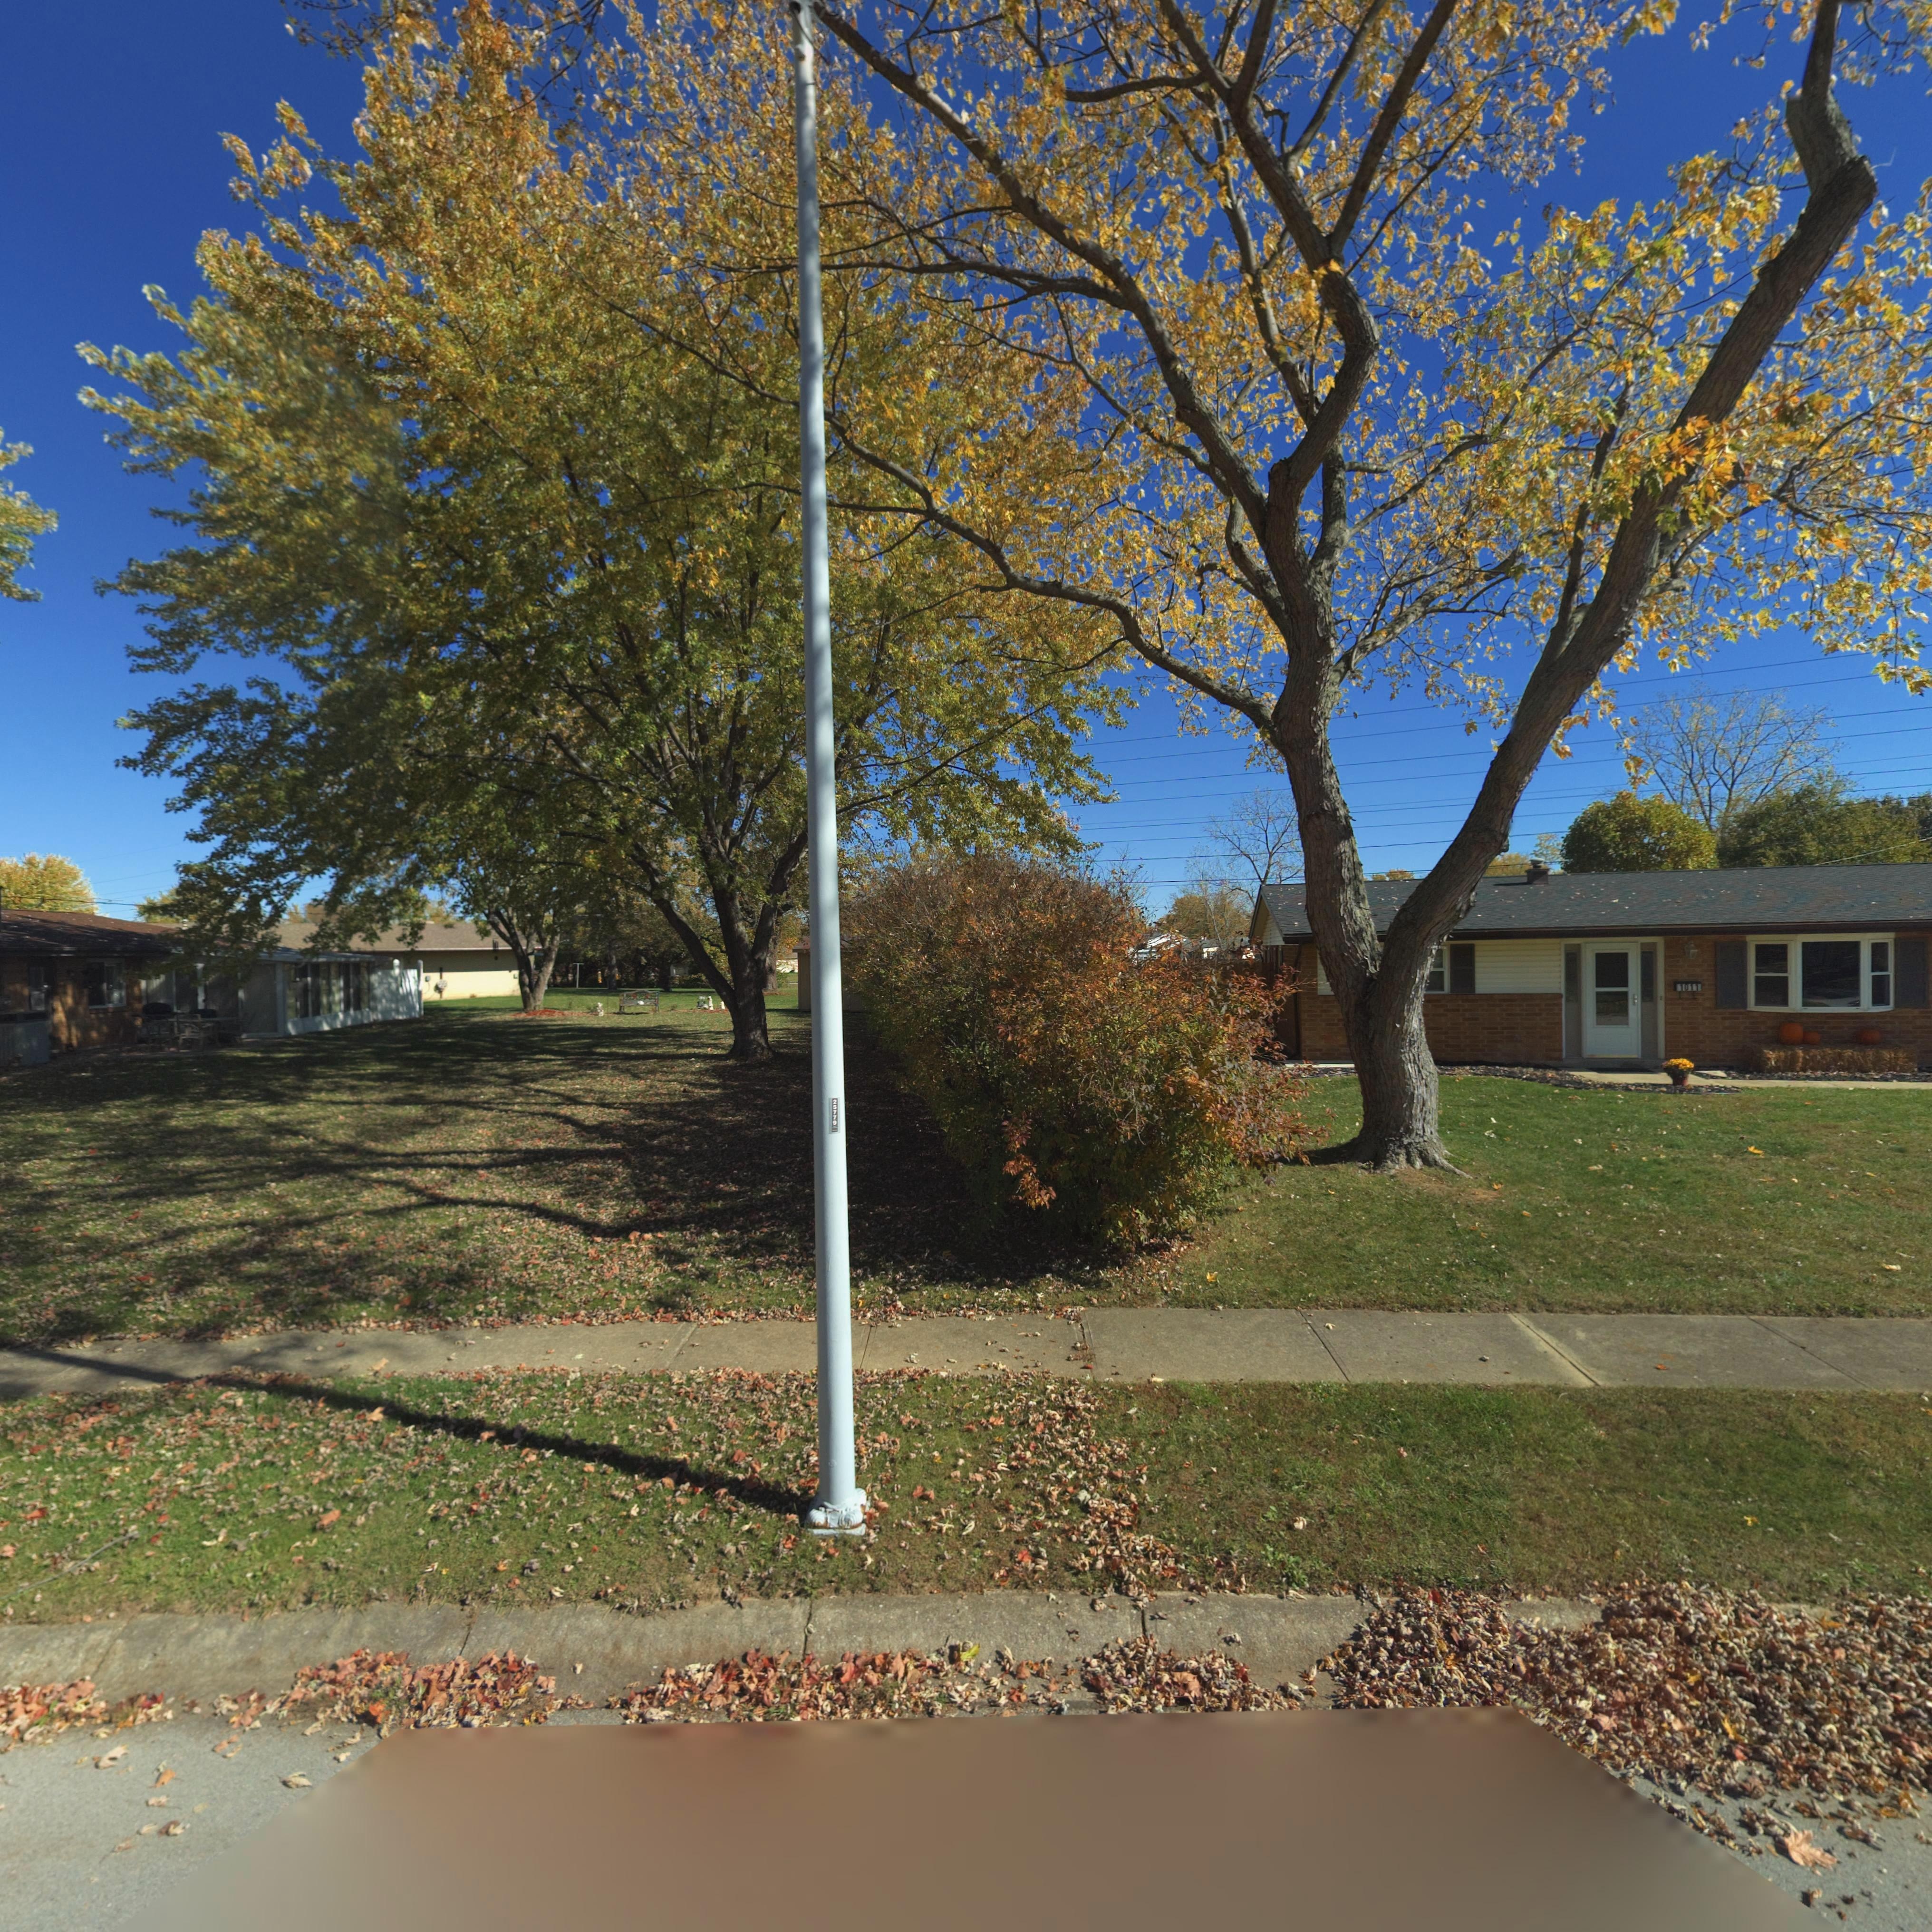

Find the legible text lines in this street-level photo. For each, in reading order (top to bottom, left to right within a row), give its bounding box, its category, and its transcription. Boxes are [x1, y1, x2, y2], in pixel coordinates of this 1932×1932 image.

[1679, 983, 1699, 991] StreetNumber: 1011